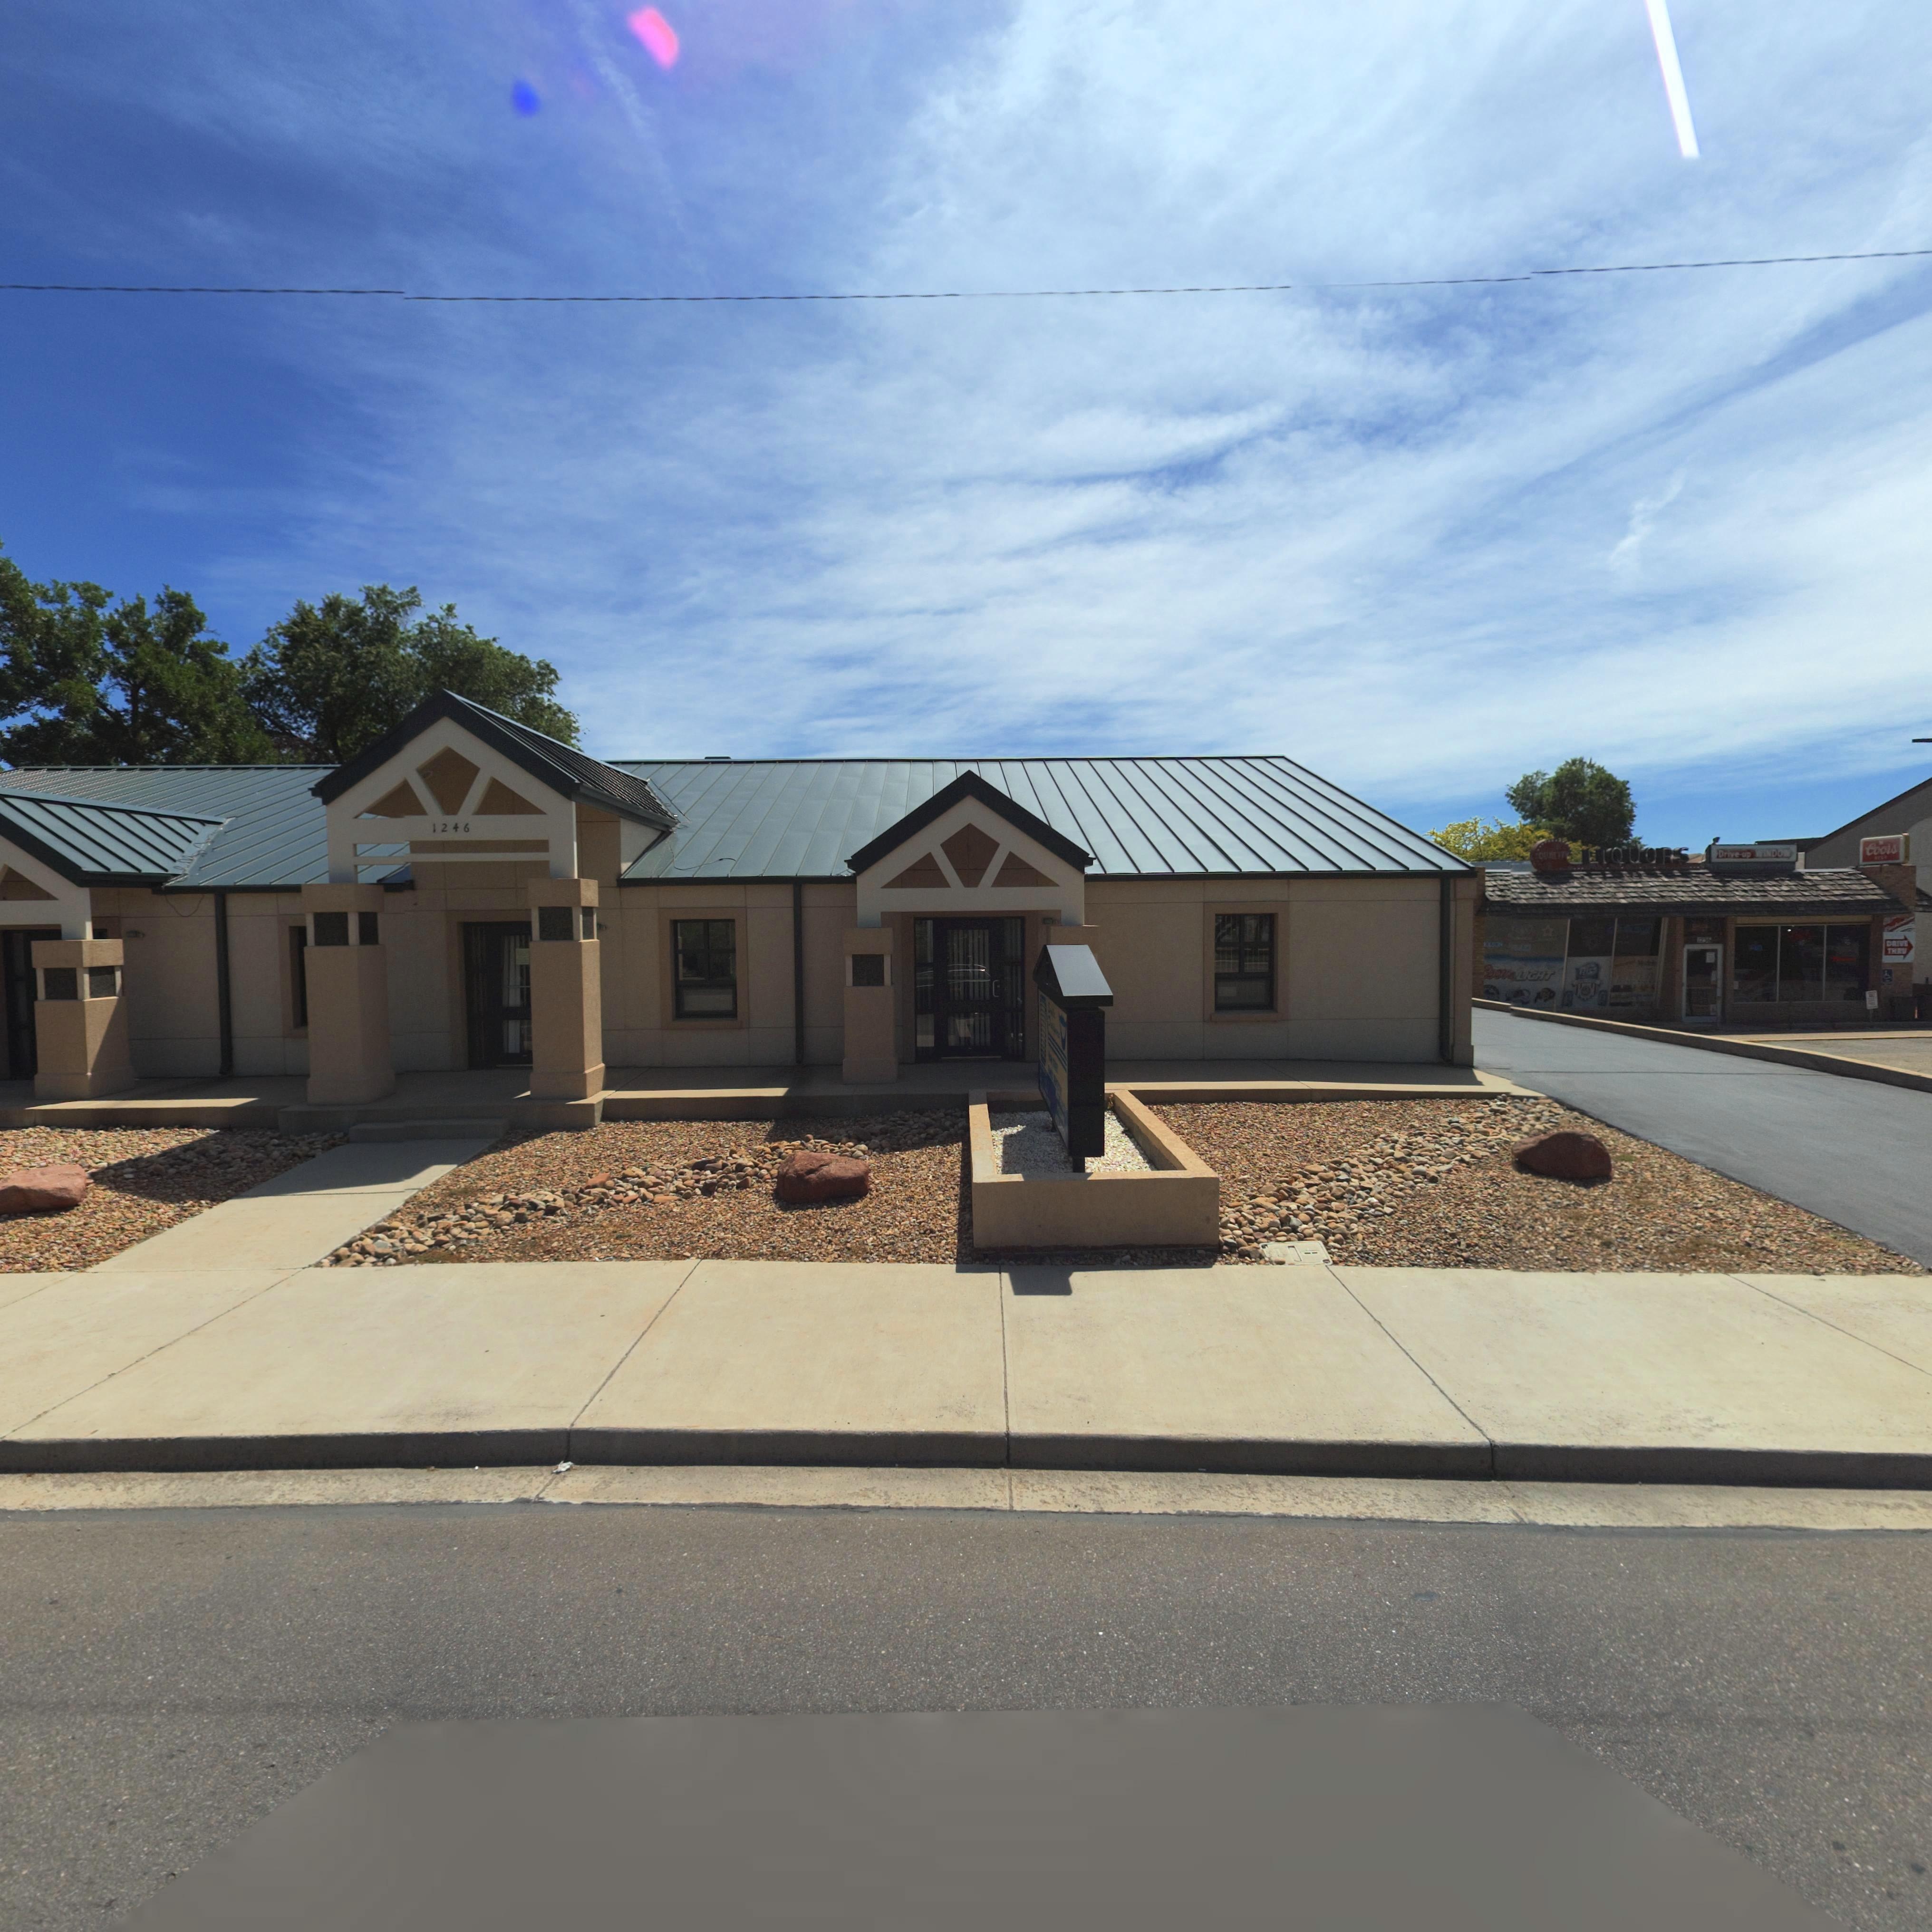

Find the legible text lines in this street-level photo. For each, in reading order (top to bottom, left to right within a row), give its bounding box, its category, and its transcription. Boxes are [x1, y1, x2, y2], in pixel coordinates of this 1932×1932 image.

[432, 822, 470, 833] StreetNumber: 1246
[1538, 851, 1570, 861] BusinessName: QUA****
[1584, 846, 1690, 865] BusinessName: LIQUORS
[1697, 936, 1712, 943] StreetNumber: 1236
[1047, 1001, 1055, 1020] BusinessName: S****